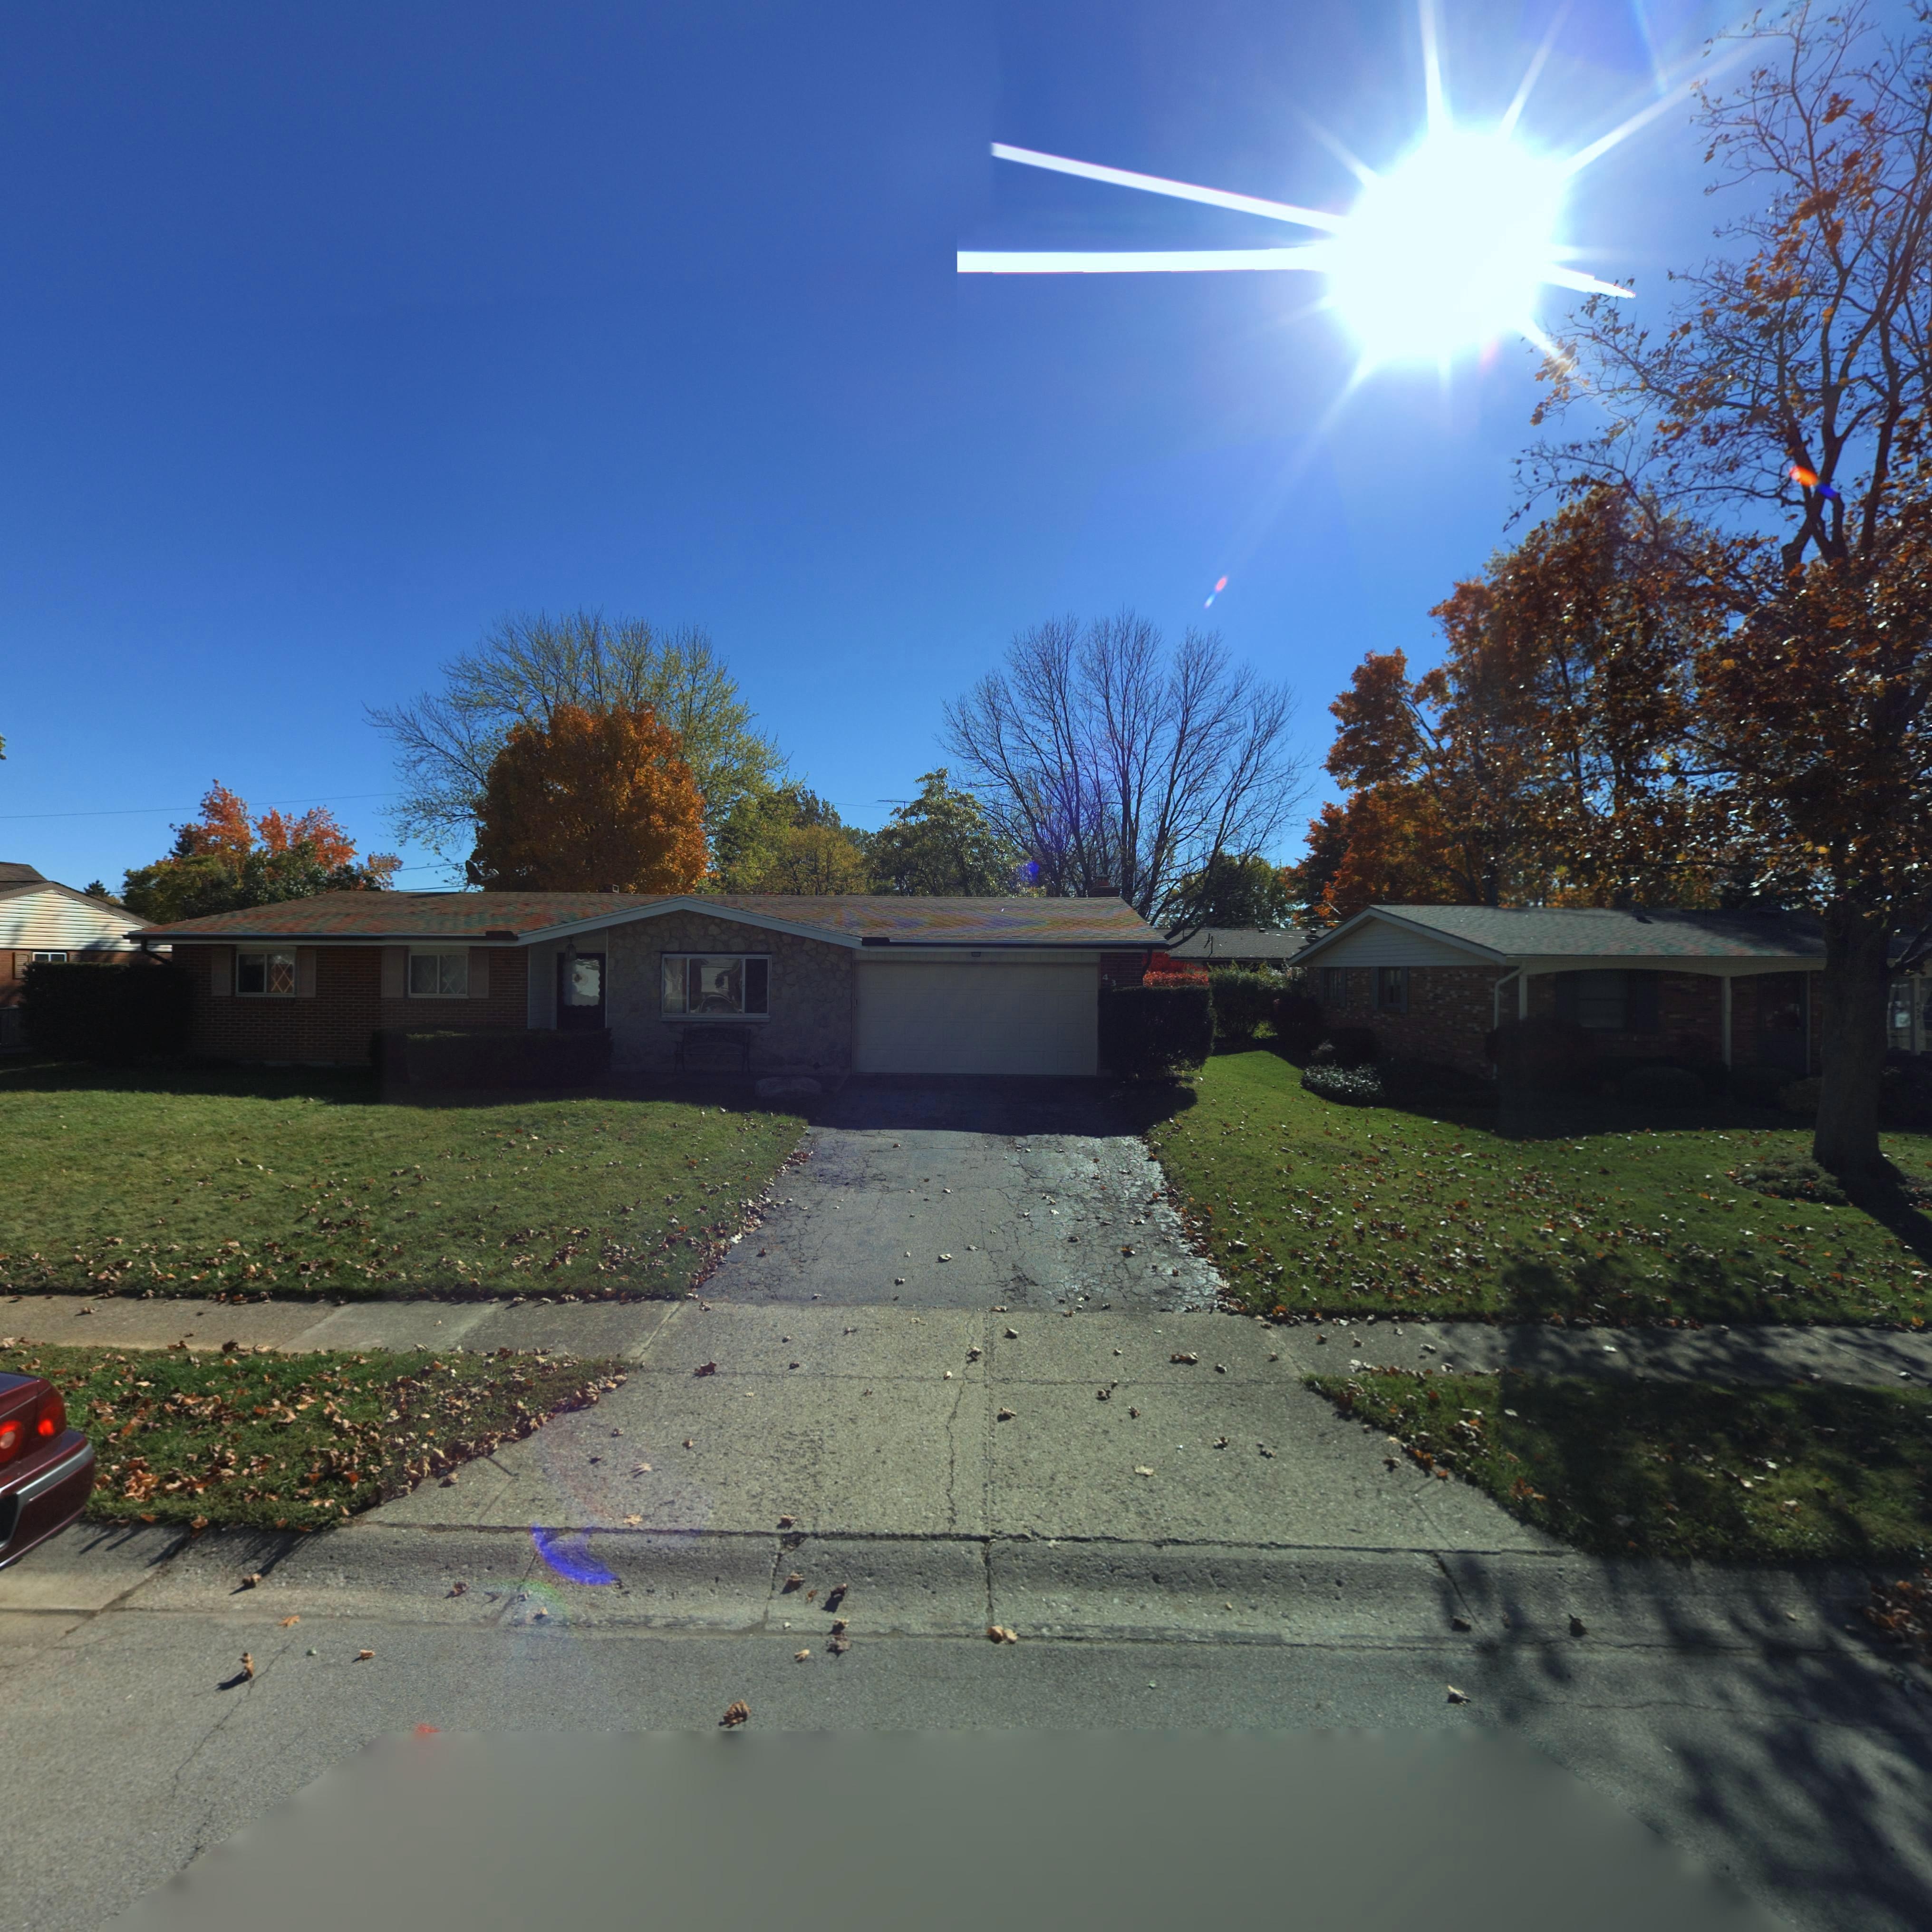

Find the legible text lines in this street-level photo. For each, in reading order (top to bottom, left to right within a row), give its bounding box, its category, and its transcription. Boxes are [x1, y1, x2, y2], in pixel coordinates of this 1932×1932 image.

[1101, 973, 1118, 988] StreetNumber: 43